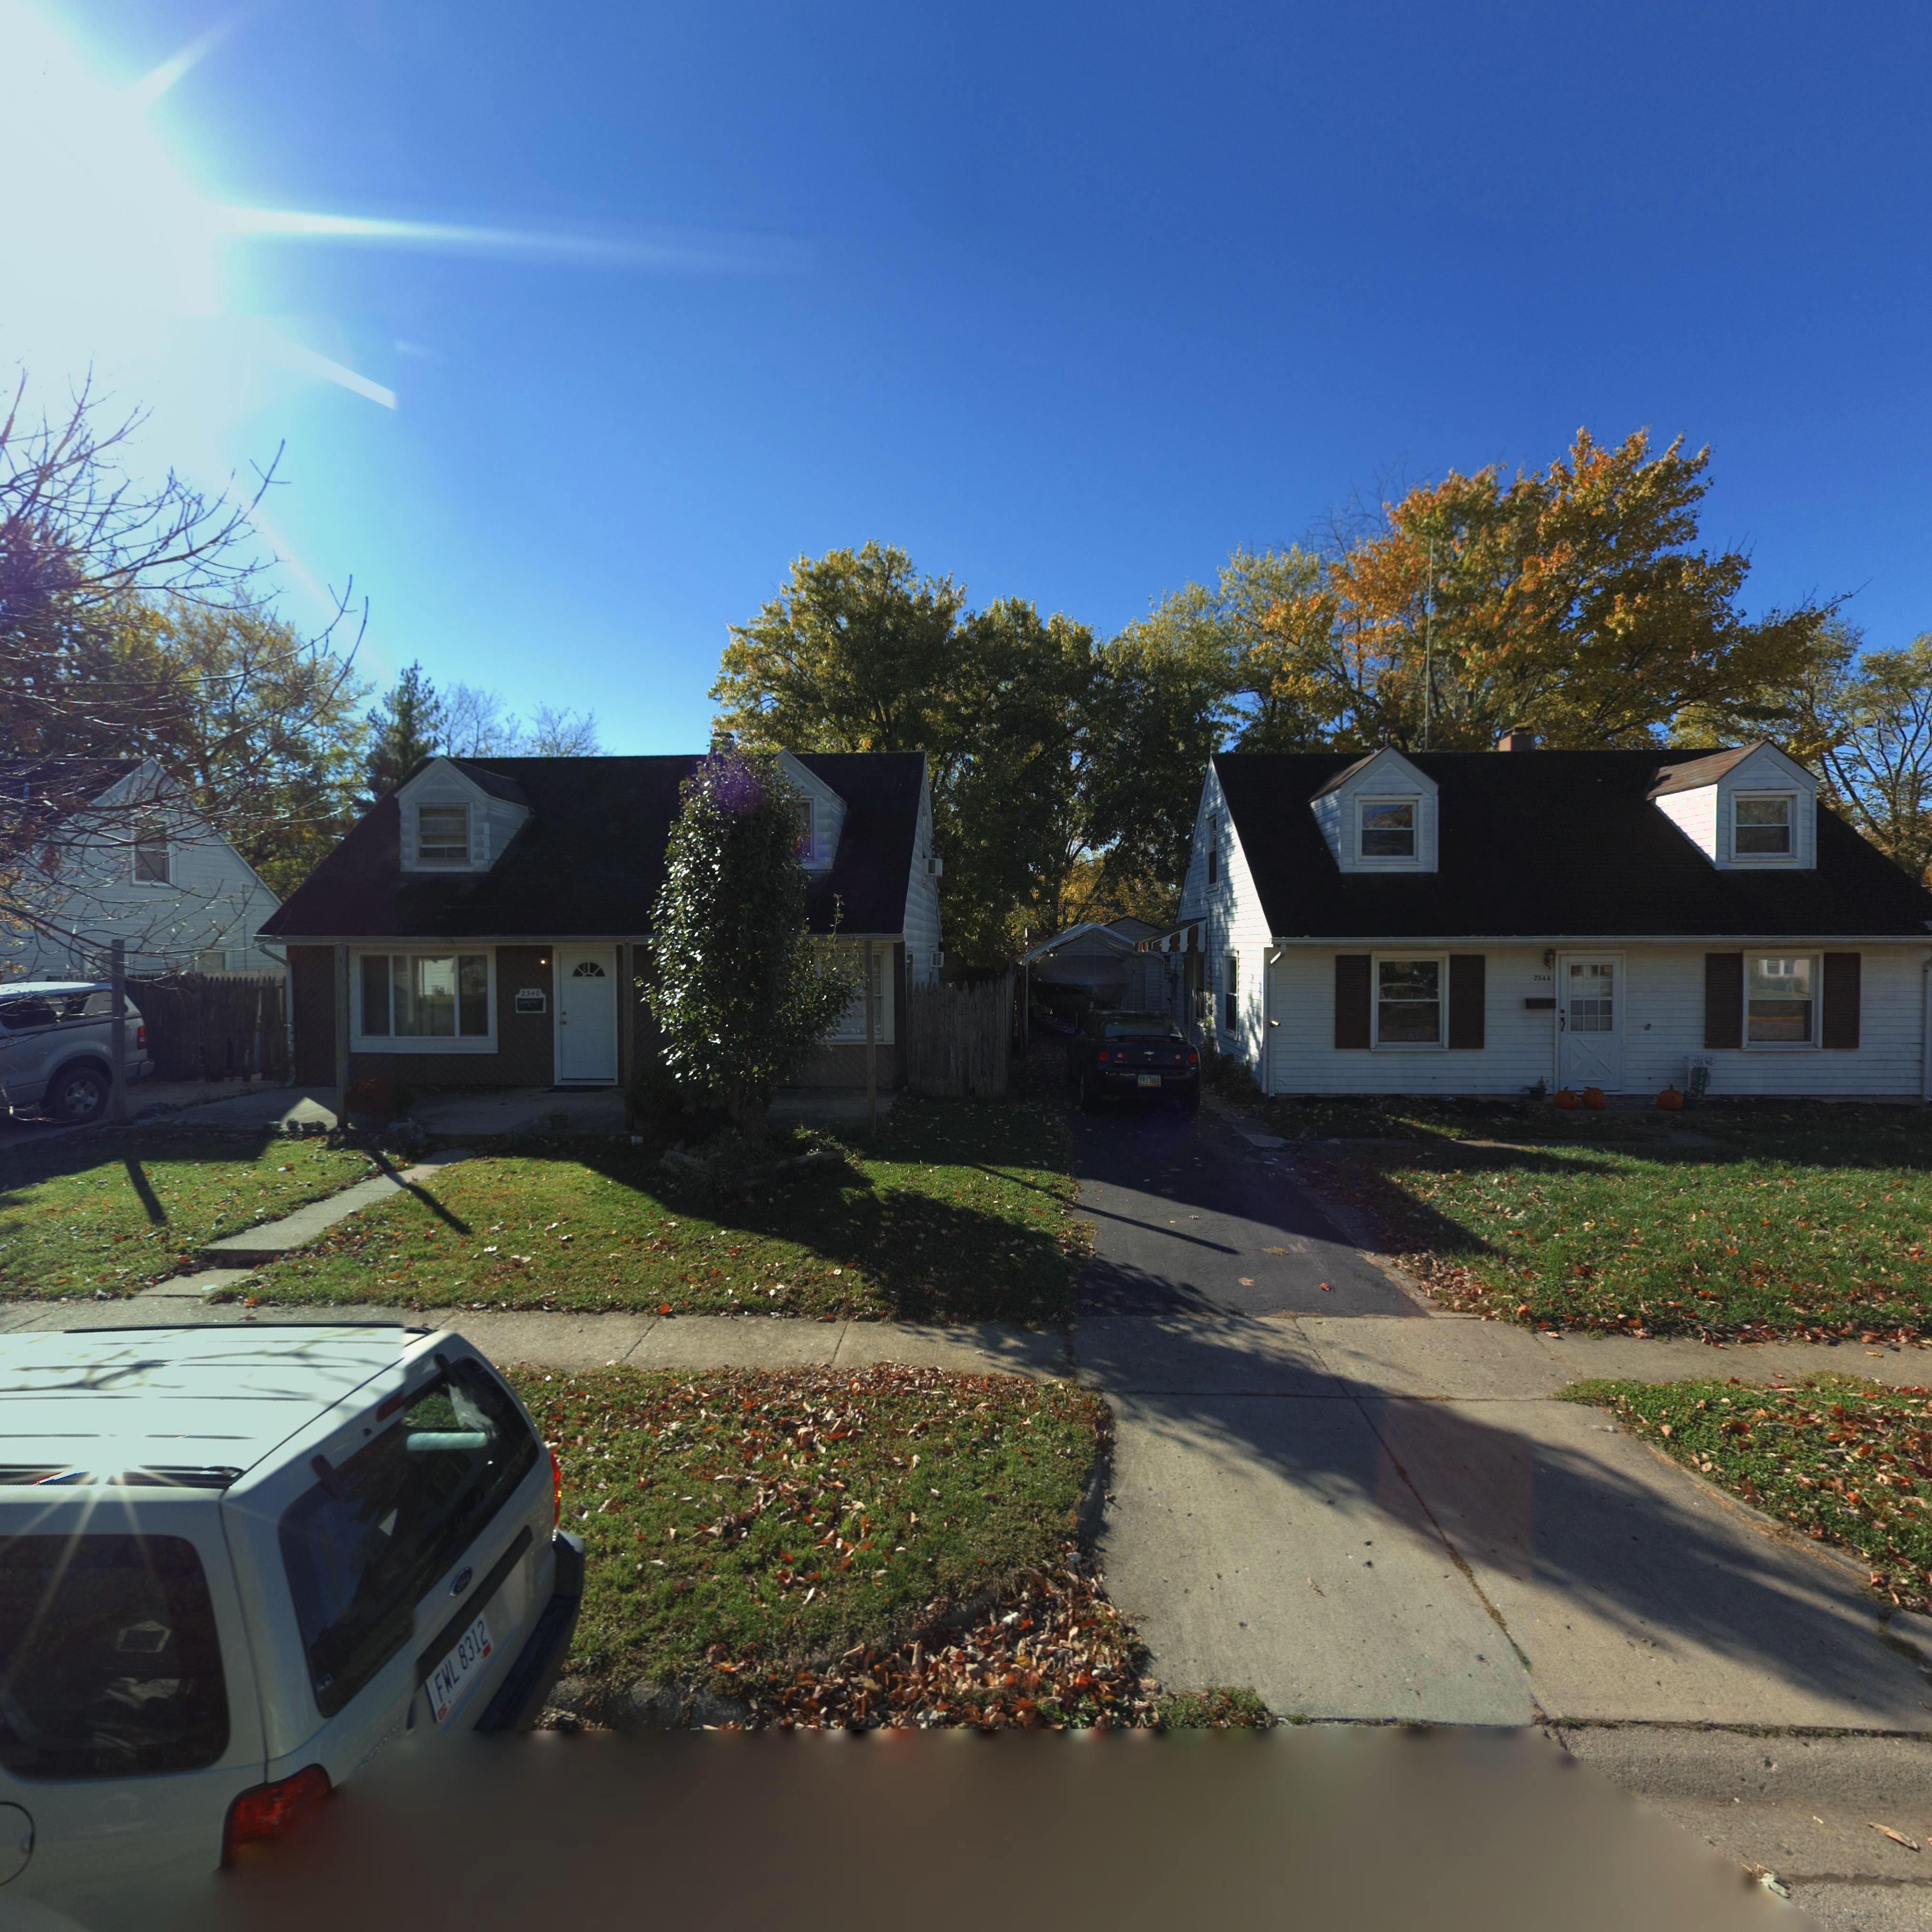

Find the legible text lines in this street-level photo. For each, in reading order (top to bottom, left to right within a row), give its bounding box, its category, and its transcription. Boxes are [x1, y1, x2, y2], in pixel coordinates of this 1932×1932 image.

[1533, 974, 1551, 982] StreetNumber: **44
[520, 989, 541, 997] StreetNumber: 2*40
[1696, 1067, 1707, 1099] StreetNumber: 2***